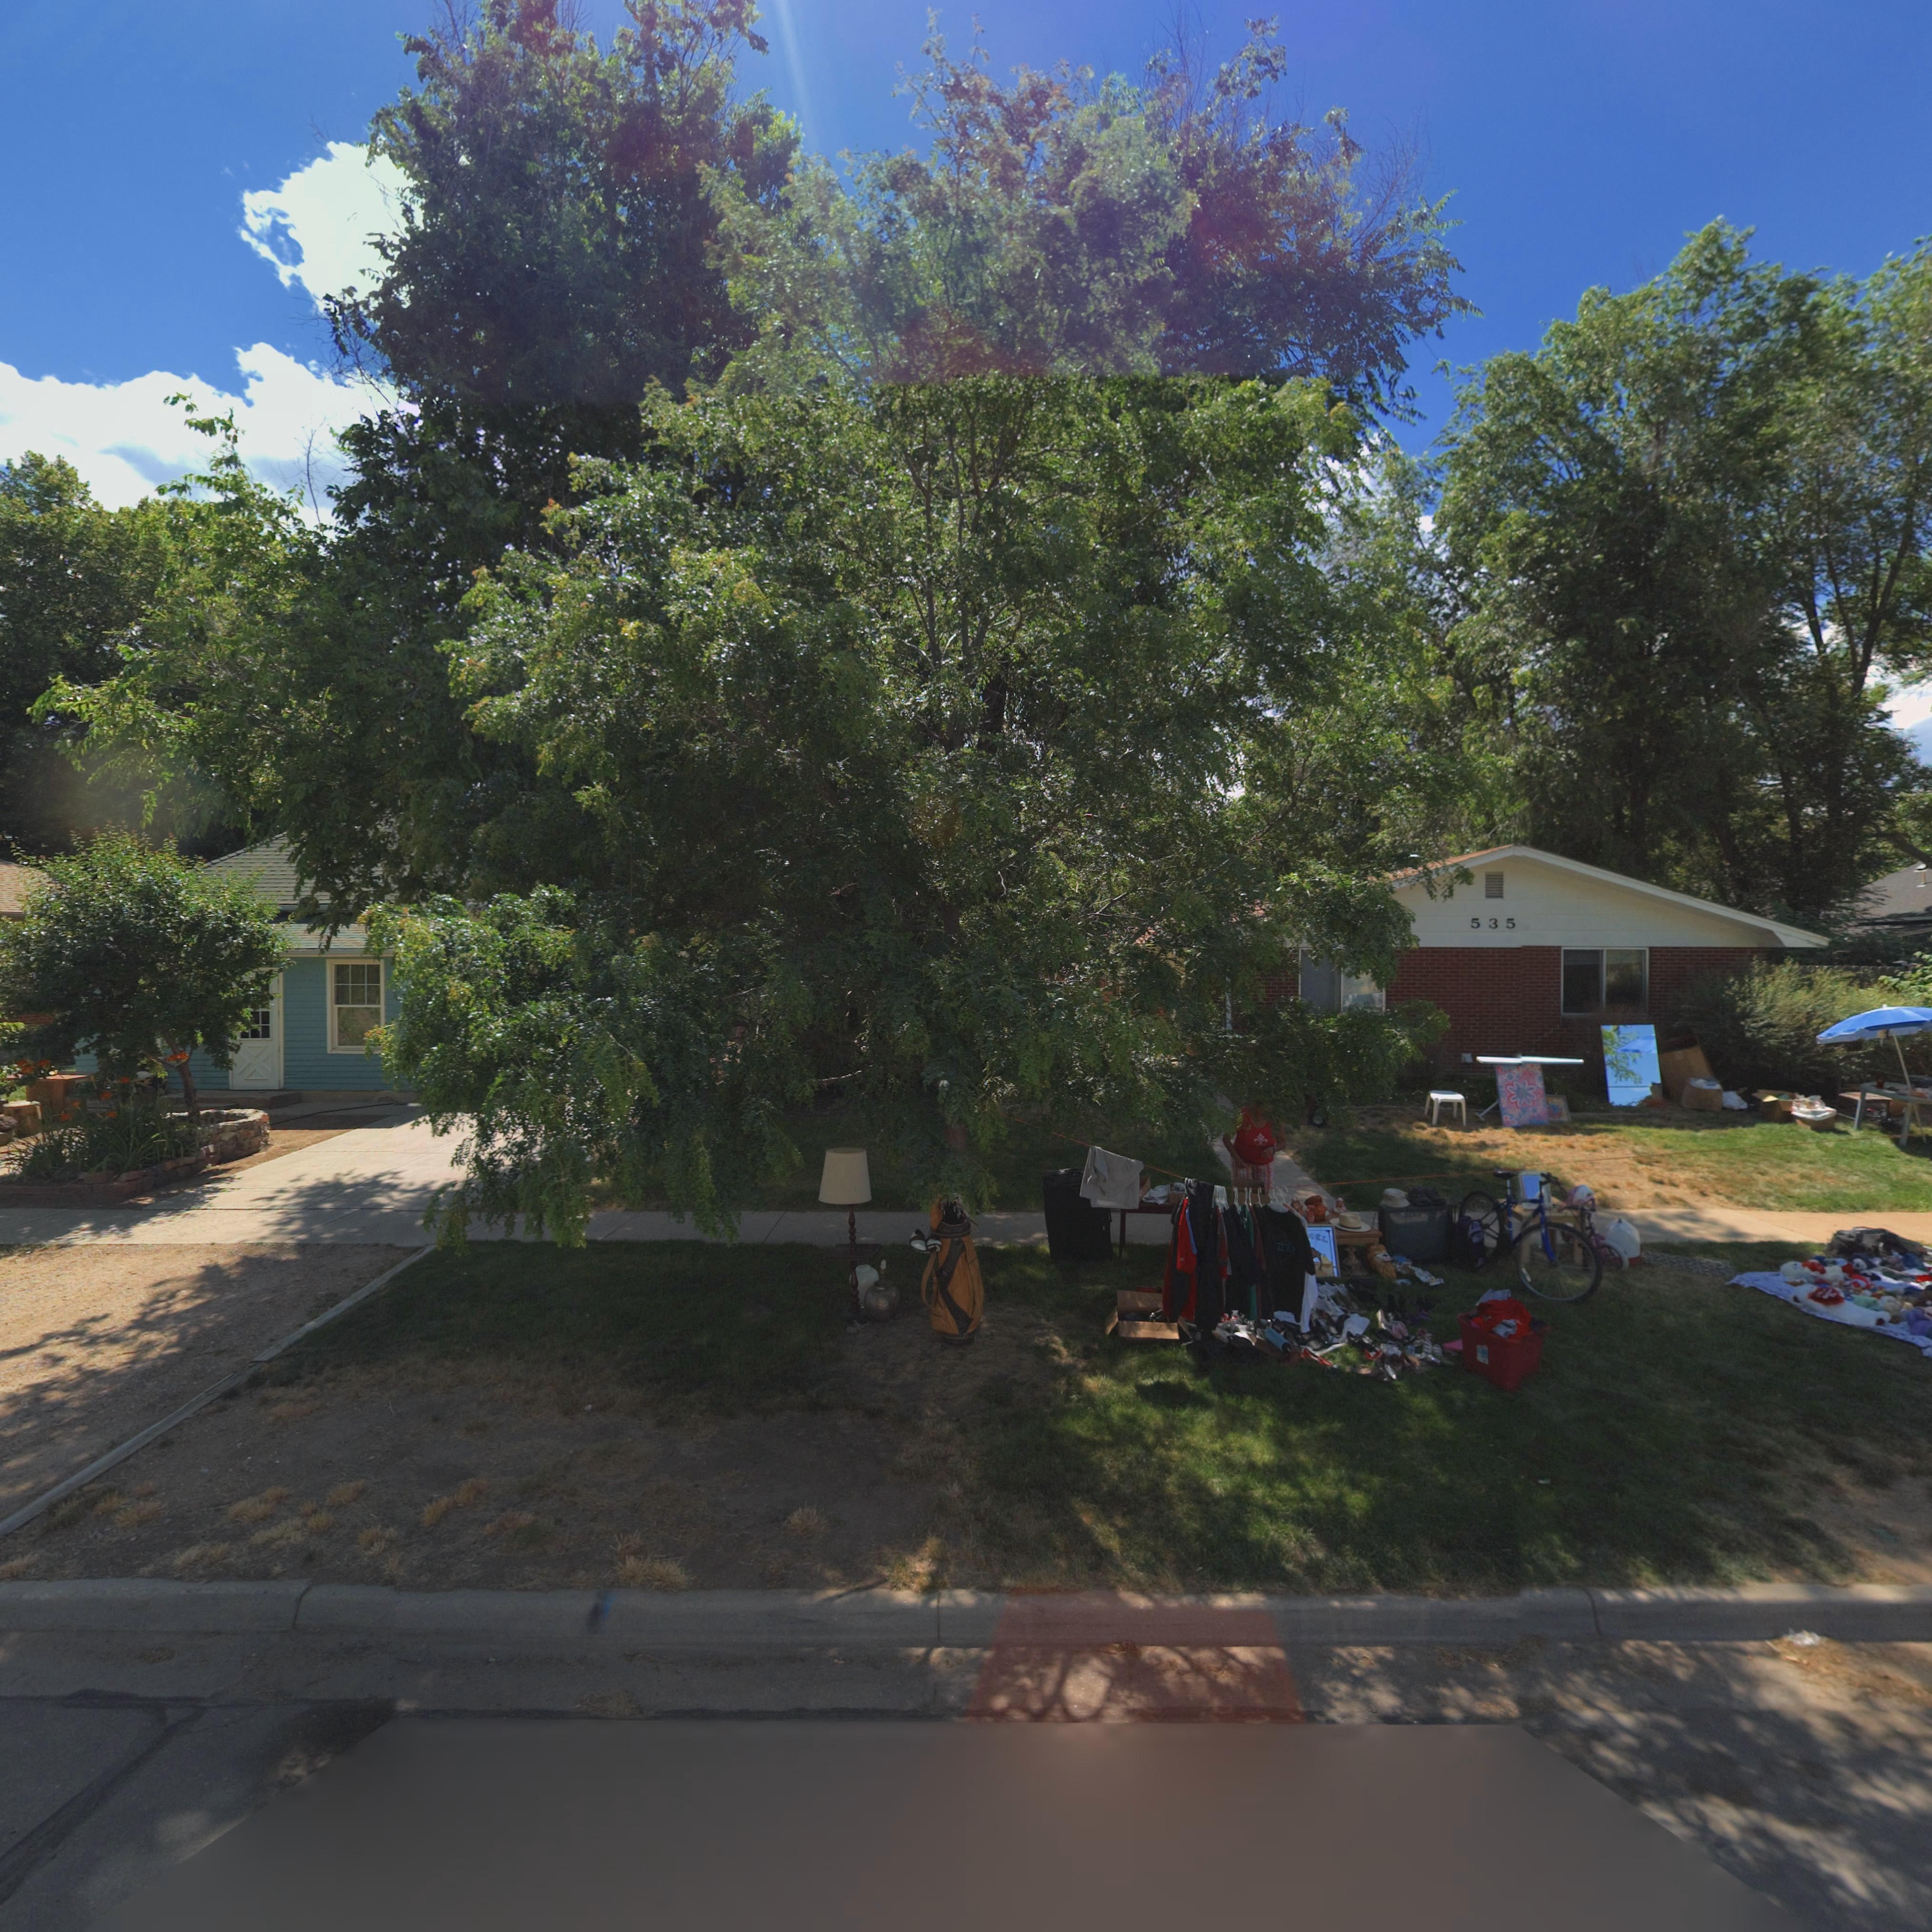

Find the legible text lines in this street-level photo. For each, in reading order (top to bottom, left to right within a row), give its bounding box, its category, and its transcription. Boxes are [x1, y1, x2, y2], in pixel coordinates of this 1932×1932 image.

[1470, 917, 1516, 929] StreetNumber: 535